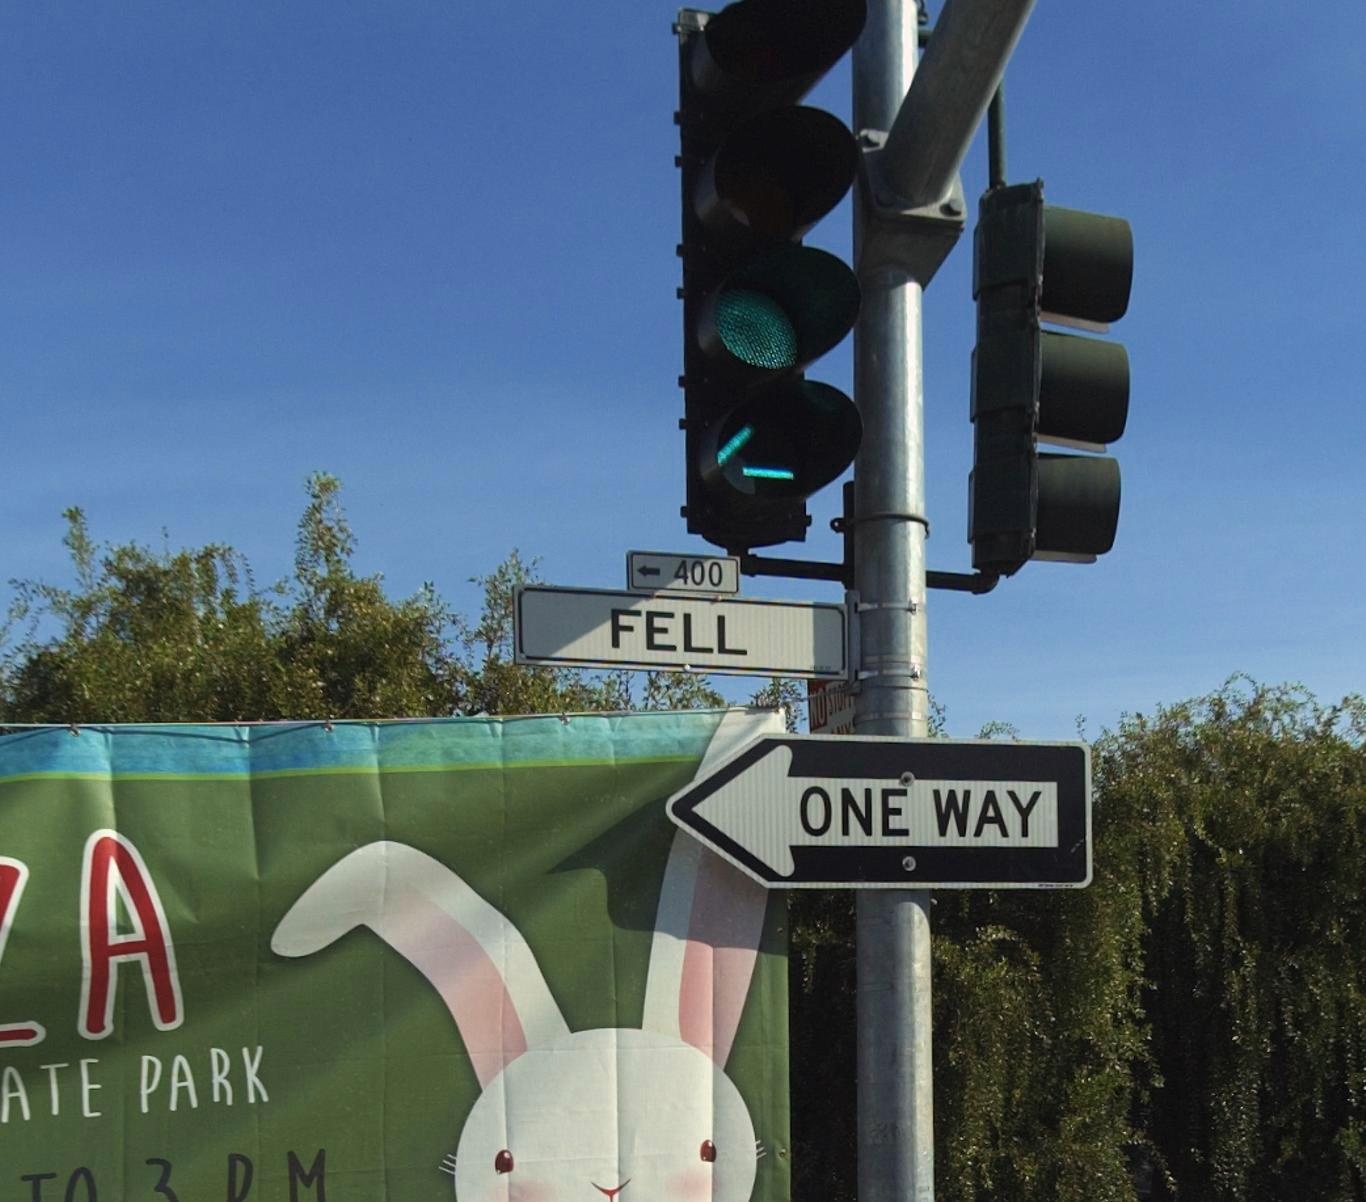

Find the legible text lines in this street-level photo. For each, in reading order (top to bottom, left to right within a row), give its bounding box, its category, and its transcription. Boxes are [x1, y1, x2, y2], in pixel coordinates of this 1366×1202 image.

[633, 555, 725, 590] StreetNumberRange: <-400
[608, 605, 750, 658] StreetName: FELL
[796, 785, 1044, 842] None: ONE WAY
[70, 820, 191, 1043] None: A
[1, 1042, 274, 1126] None: ATE PARK
[225, 1146, 329, 1201] None: D M